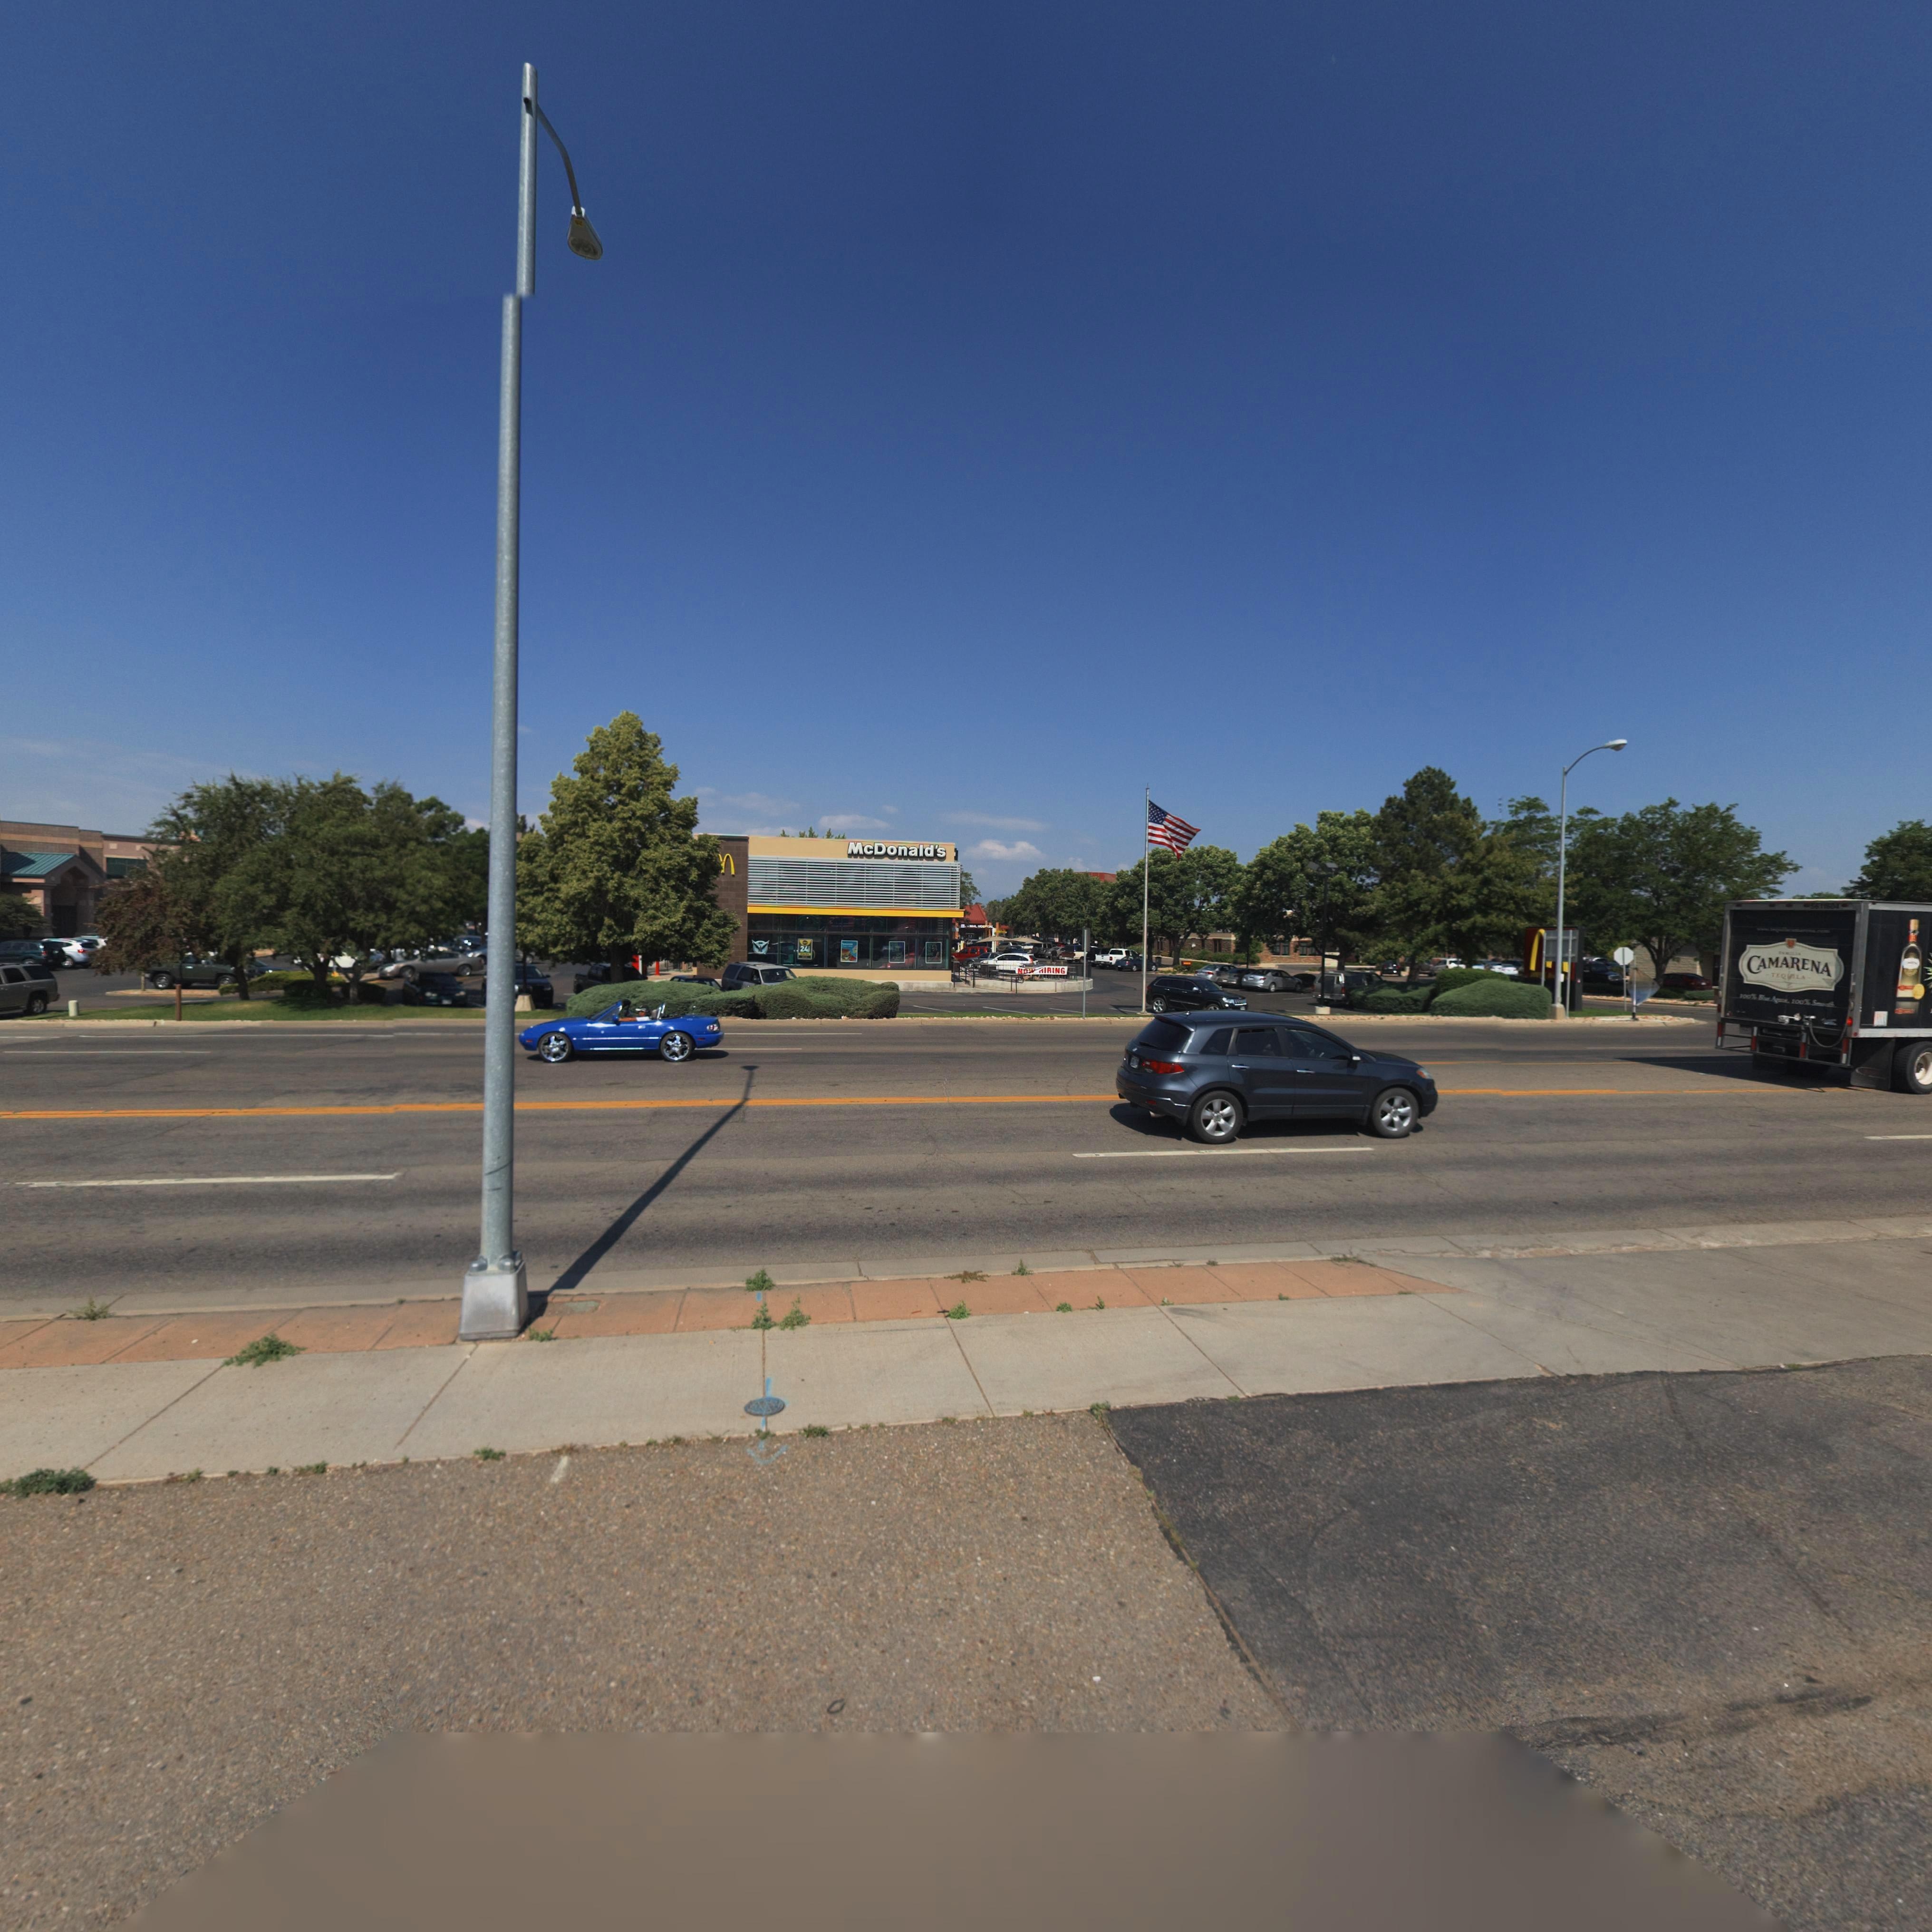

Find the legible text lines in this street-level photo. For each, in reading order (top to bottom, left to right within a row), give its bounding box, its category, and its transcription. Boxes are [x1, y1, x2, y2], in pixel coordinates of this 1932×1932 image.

[846, 841, 947, 859] BusinessName: McDonald's